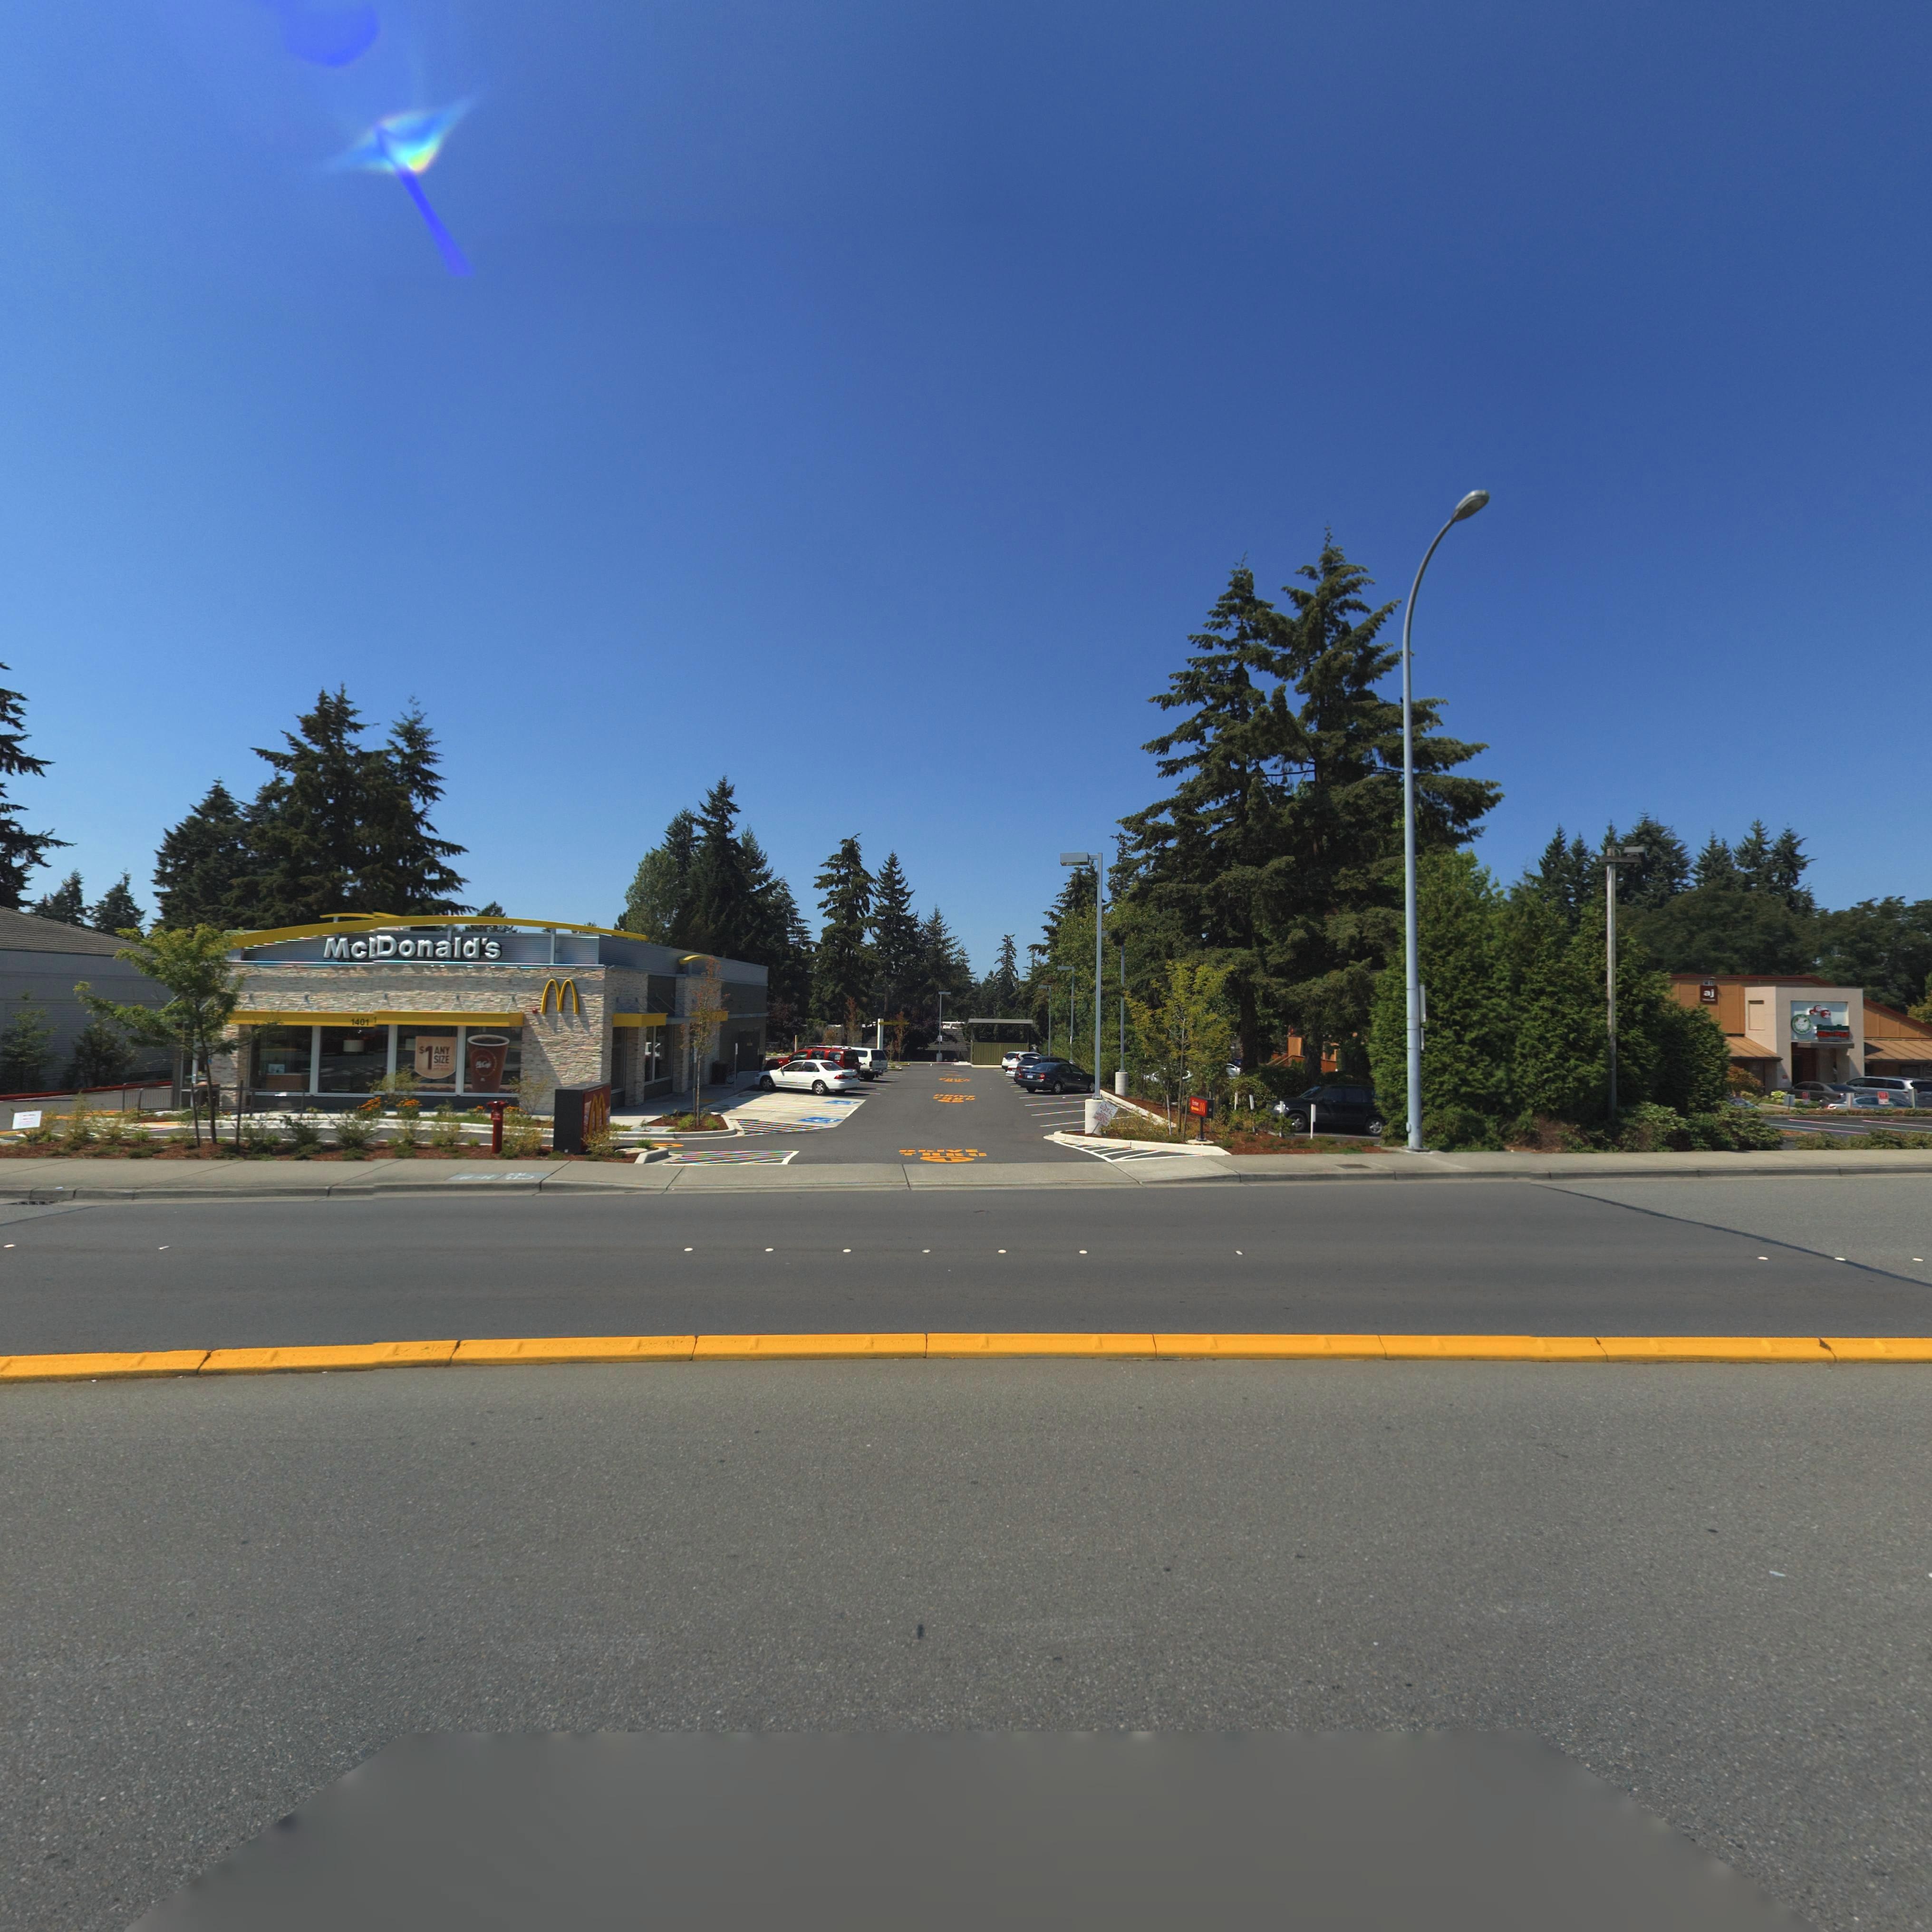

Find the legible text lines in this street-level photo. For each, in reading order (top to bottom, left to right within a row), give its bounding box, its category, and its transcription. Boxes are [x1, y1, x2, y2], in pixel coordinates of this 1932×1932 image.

[323, 935, 501, 960] BusinessName: Mc*Donald's
[1703, 988, 1715, 997] BusinessName: aj
[351, 1018, 369, 1025] StreetNumber: 1401